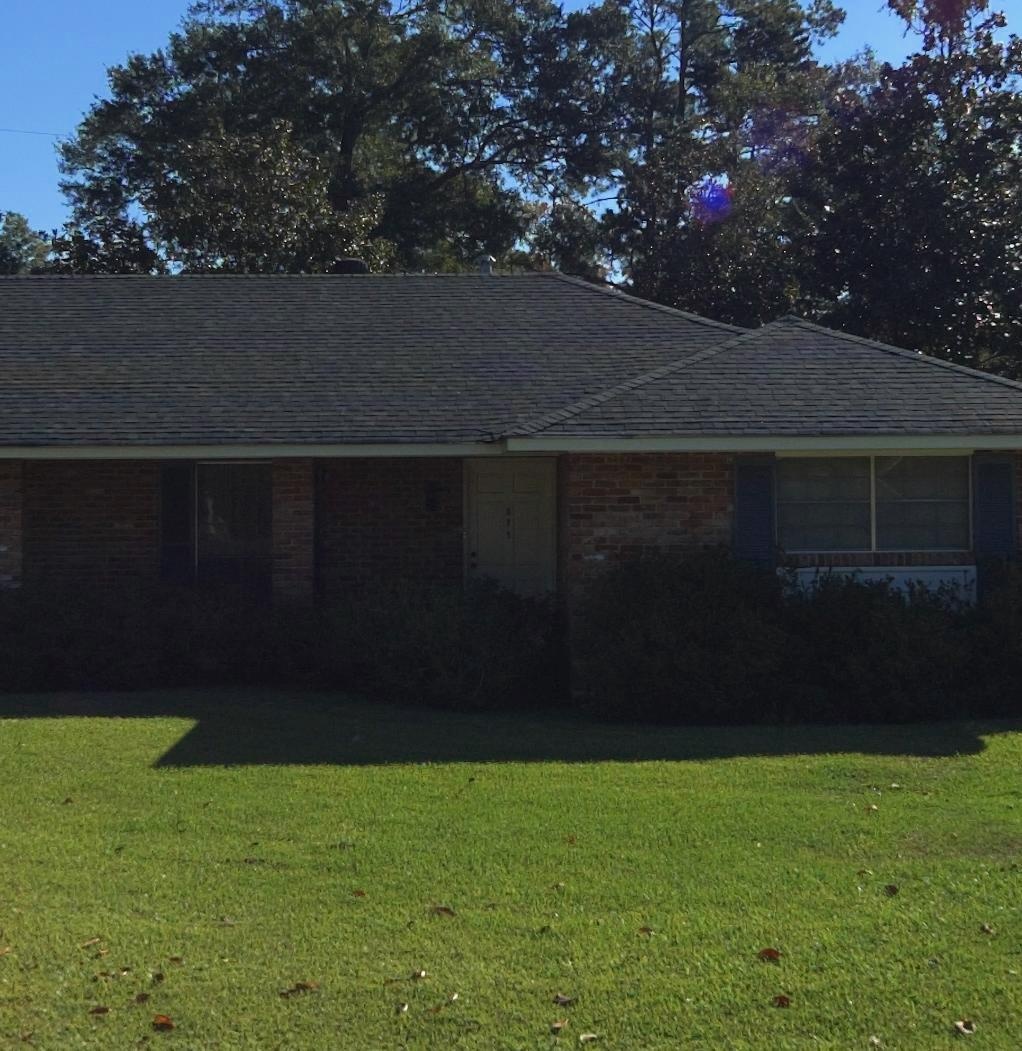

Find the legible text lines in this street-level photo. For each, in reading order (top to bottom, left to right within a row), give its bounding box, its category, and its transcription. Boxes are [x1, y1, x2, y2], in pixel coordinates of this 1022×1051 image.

[504, 505, 513, 541] StreetNumber: 875